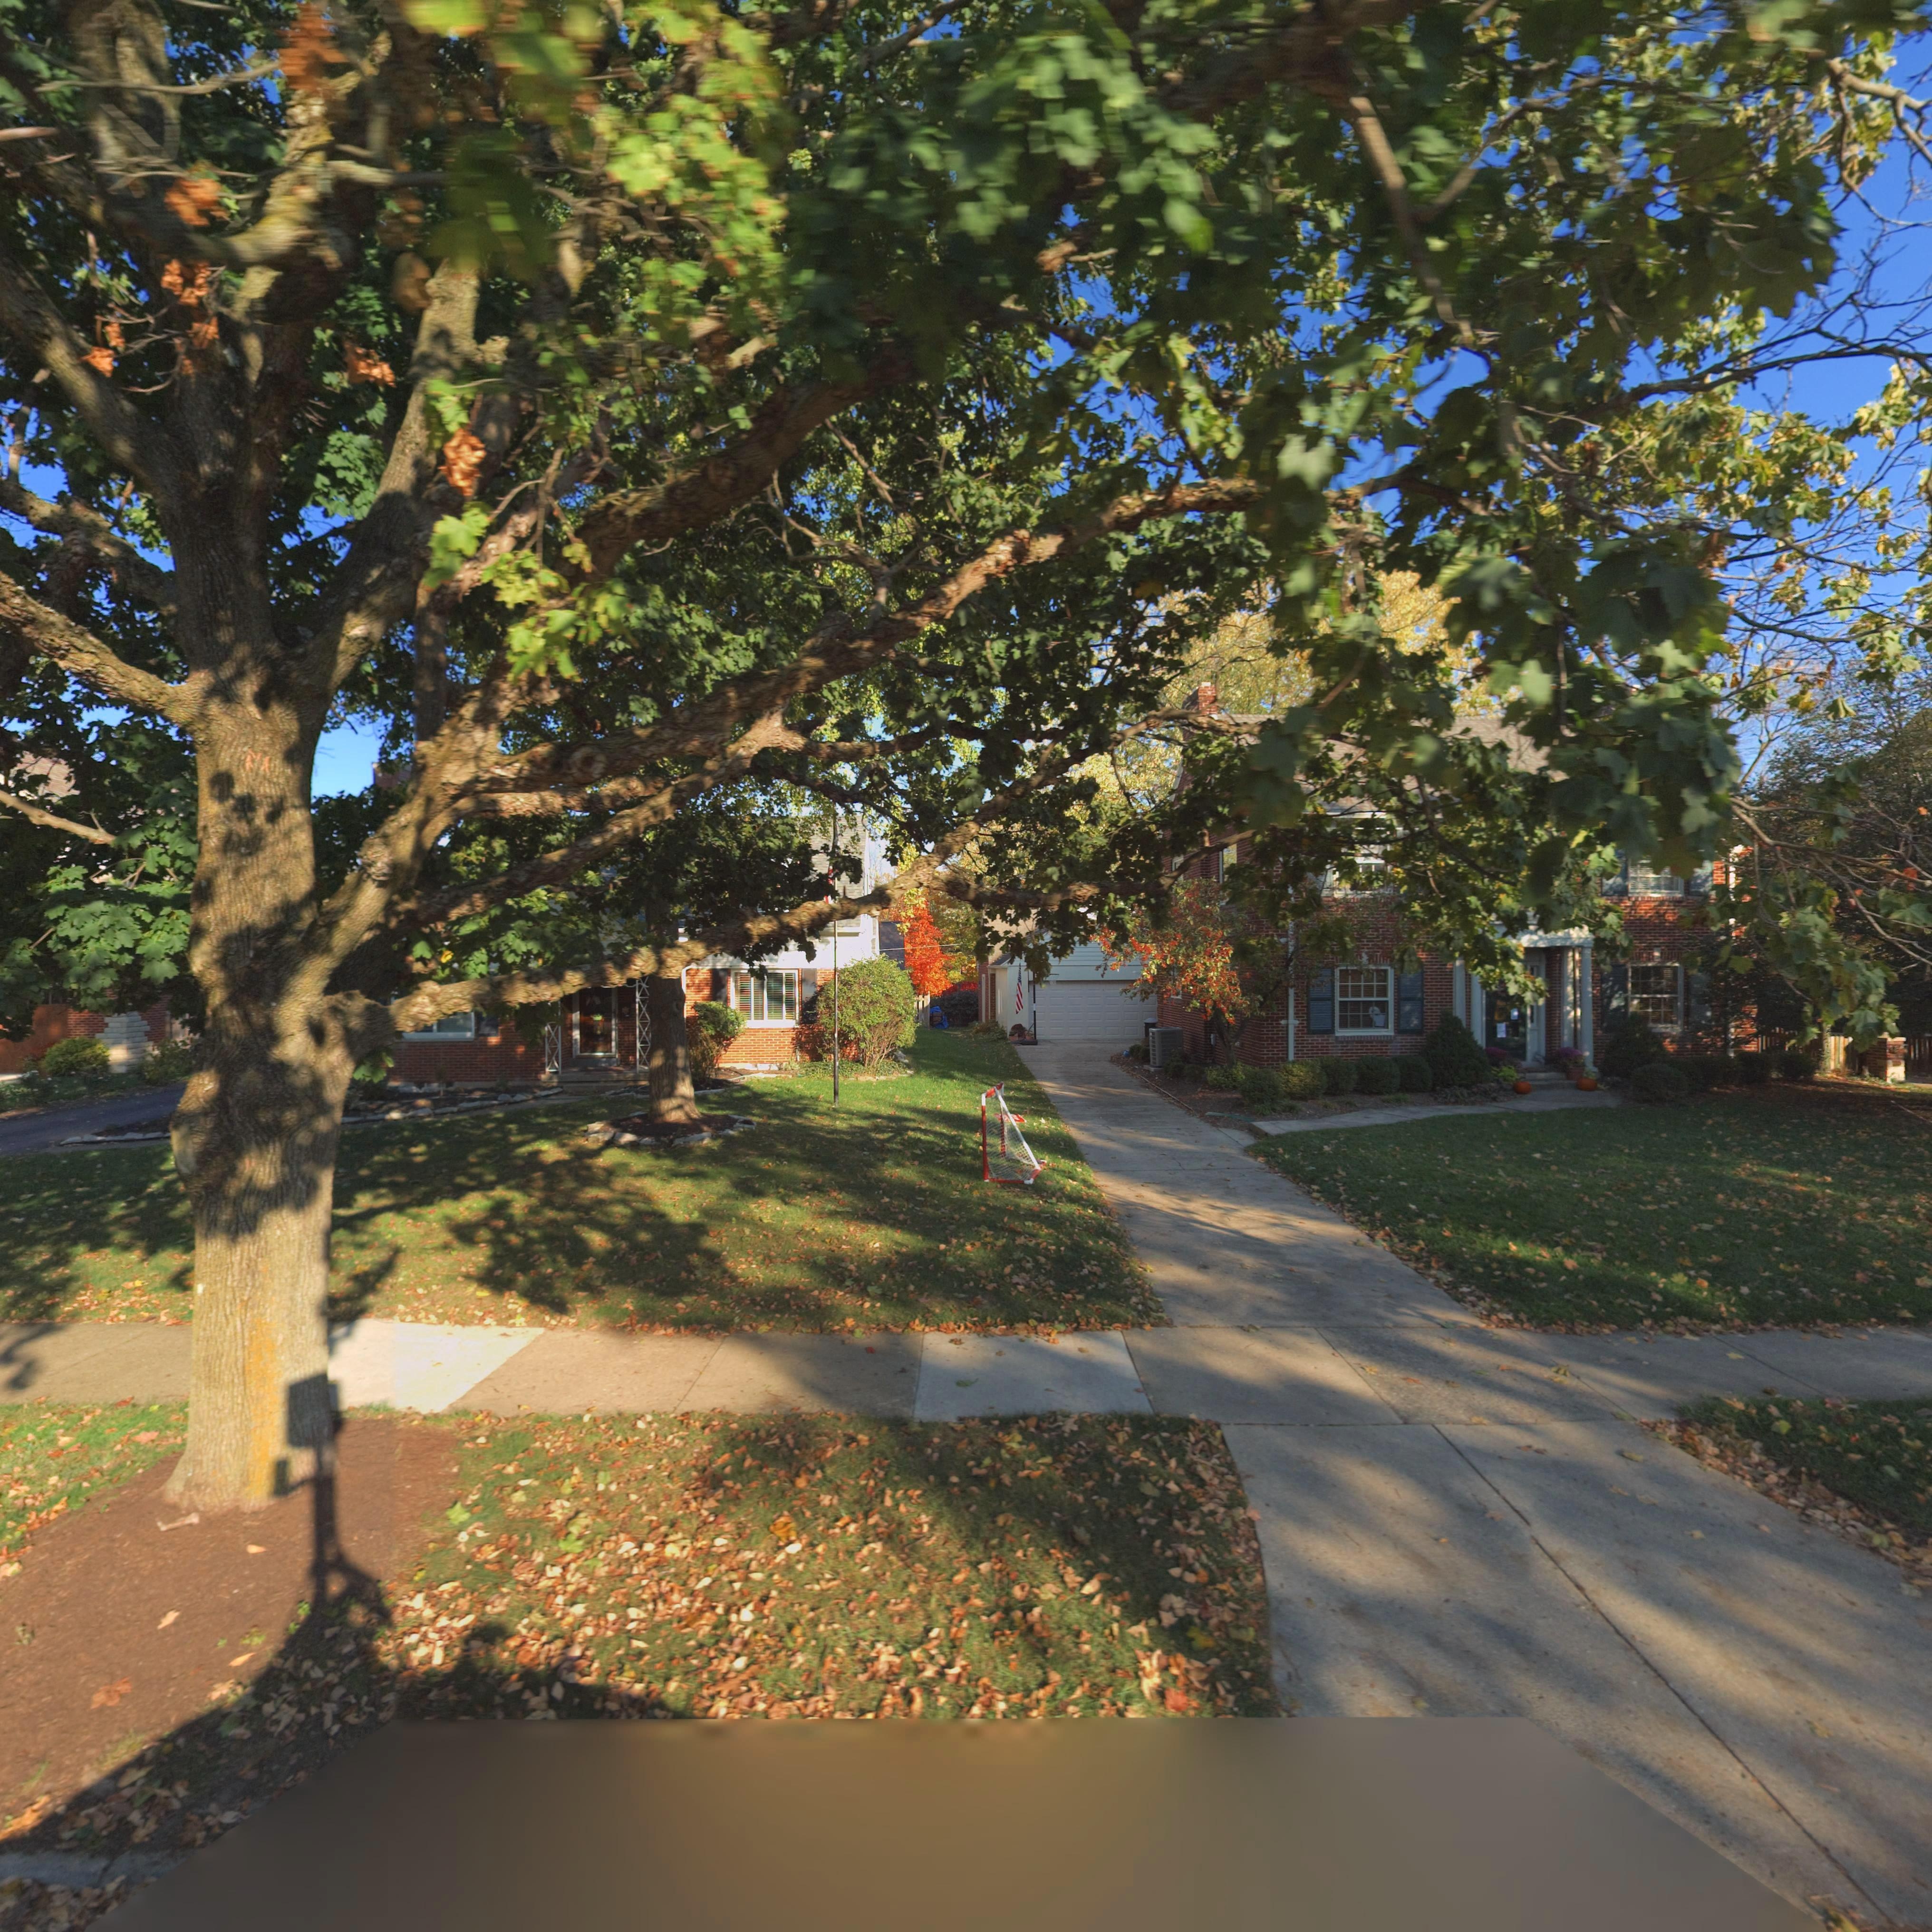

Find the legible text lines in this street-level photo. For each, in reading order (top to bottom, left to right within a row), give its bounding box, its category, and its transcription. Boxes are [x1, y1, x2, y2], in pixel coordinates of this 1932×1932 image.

[1523, 928, 1538, 936] StreetNumber: *4*